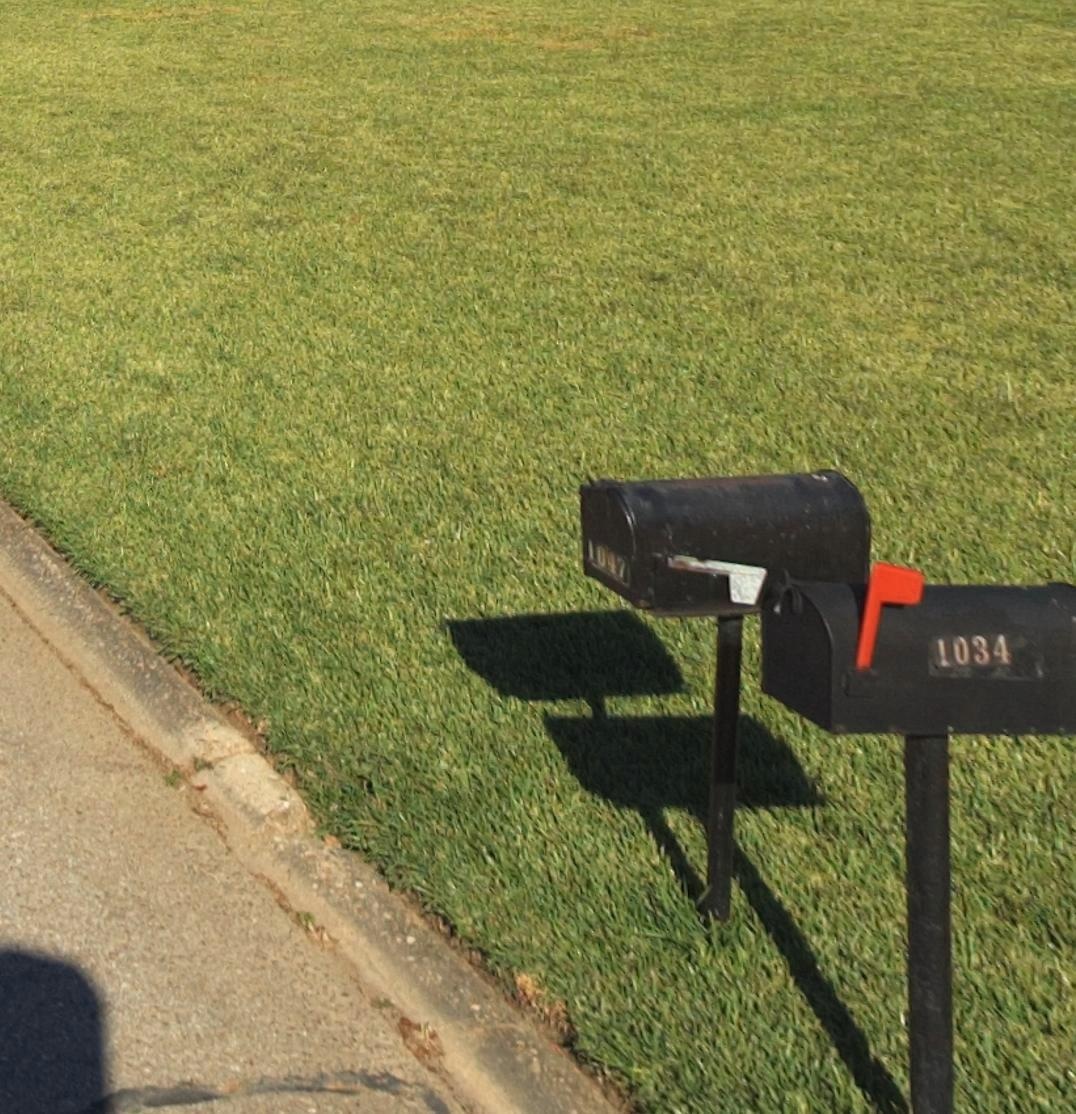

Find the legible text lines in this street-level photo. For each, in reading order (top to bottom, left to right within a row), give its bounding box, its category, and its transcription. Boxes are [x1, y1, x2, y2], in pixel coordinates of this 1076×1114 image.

[586, 537, 627, 582] StreetNumber: 1047
[937, 633, 1012, 667] StreetNumber: 1034